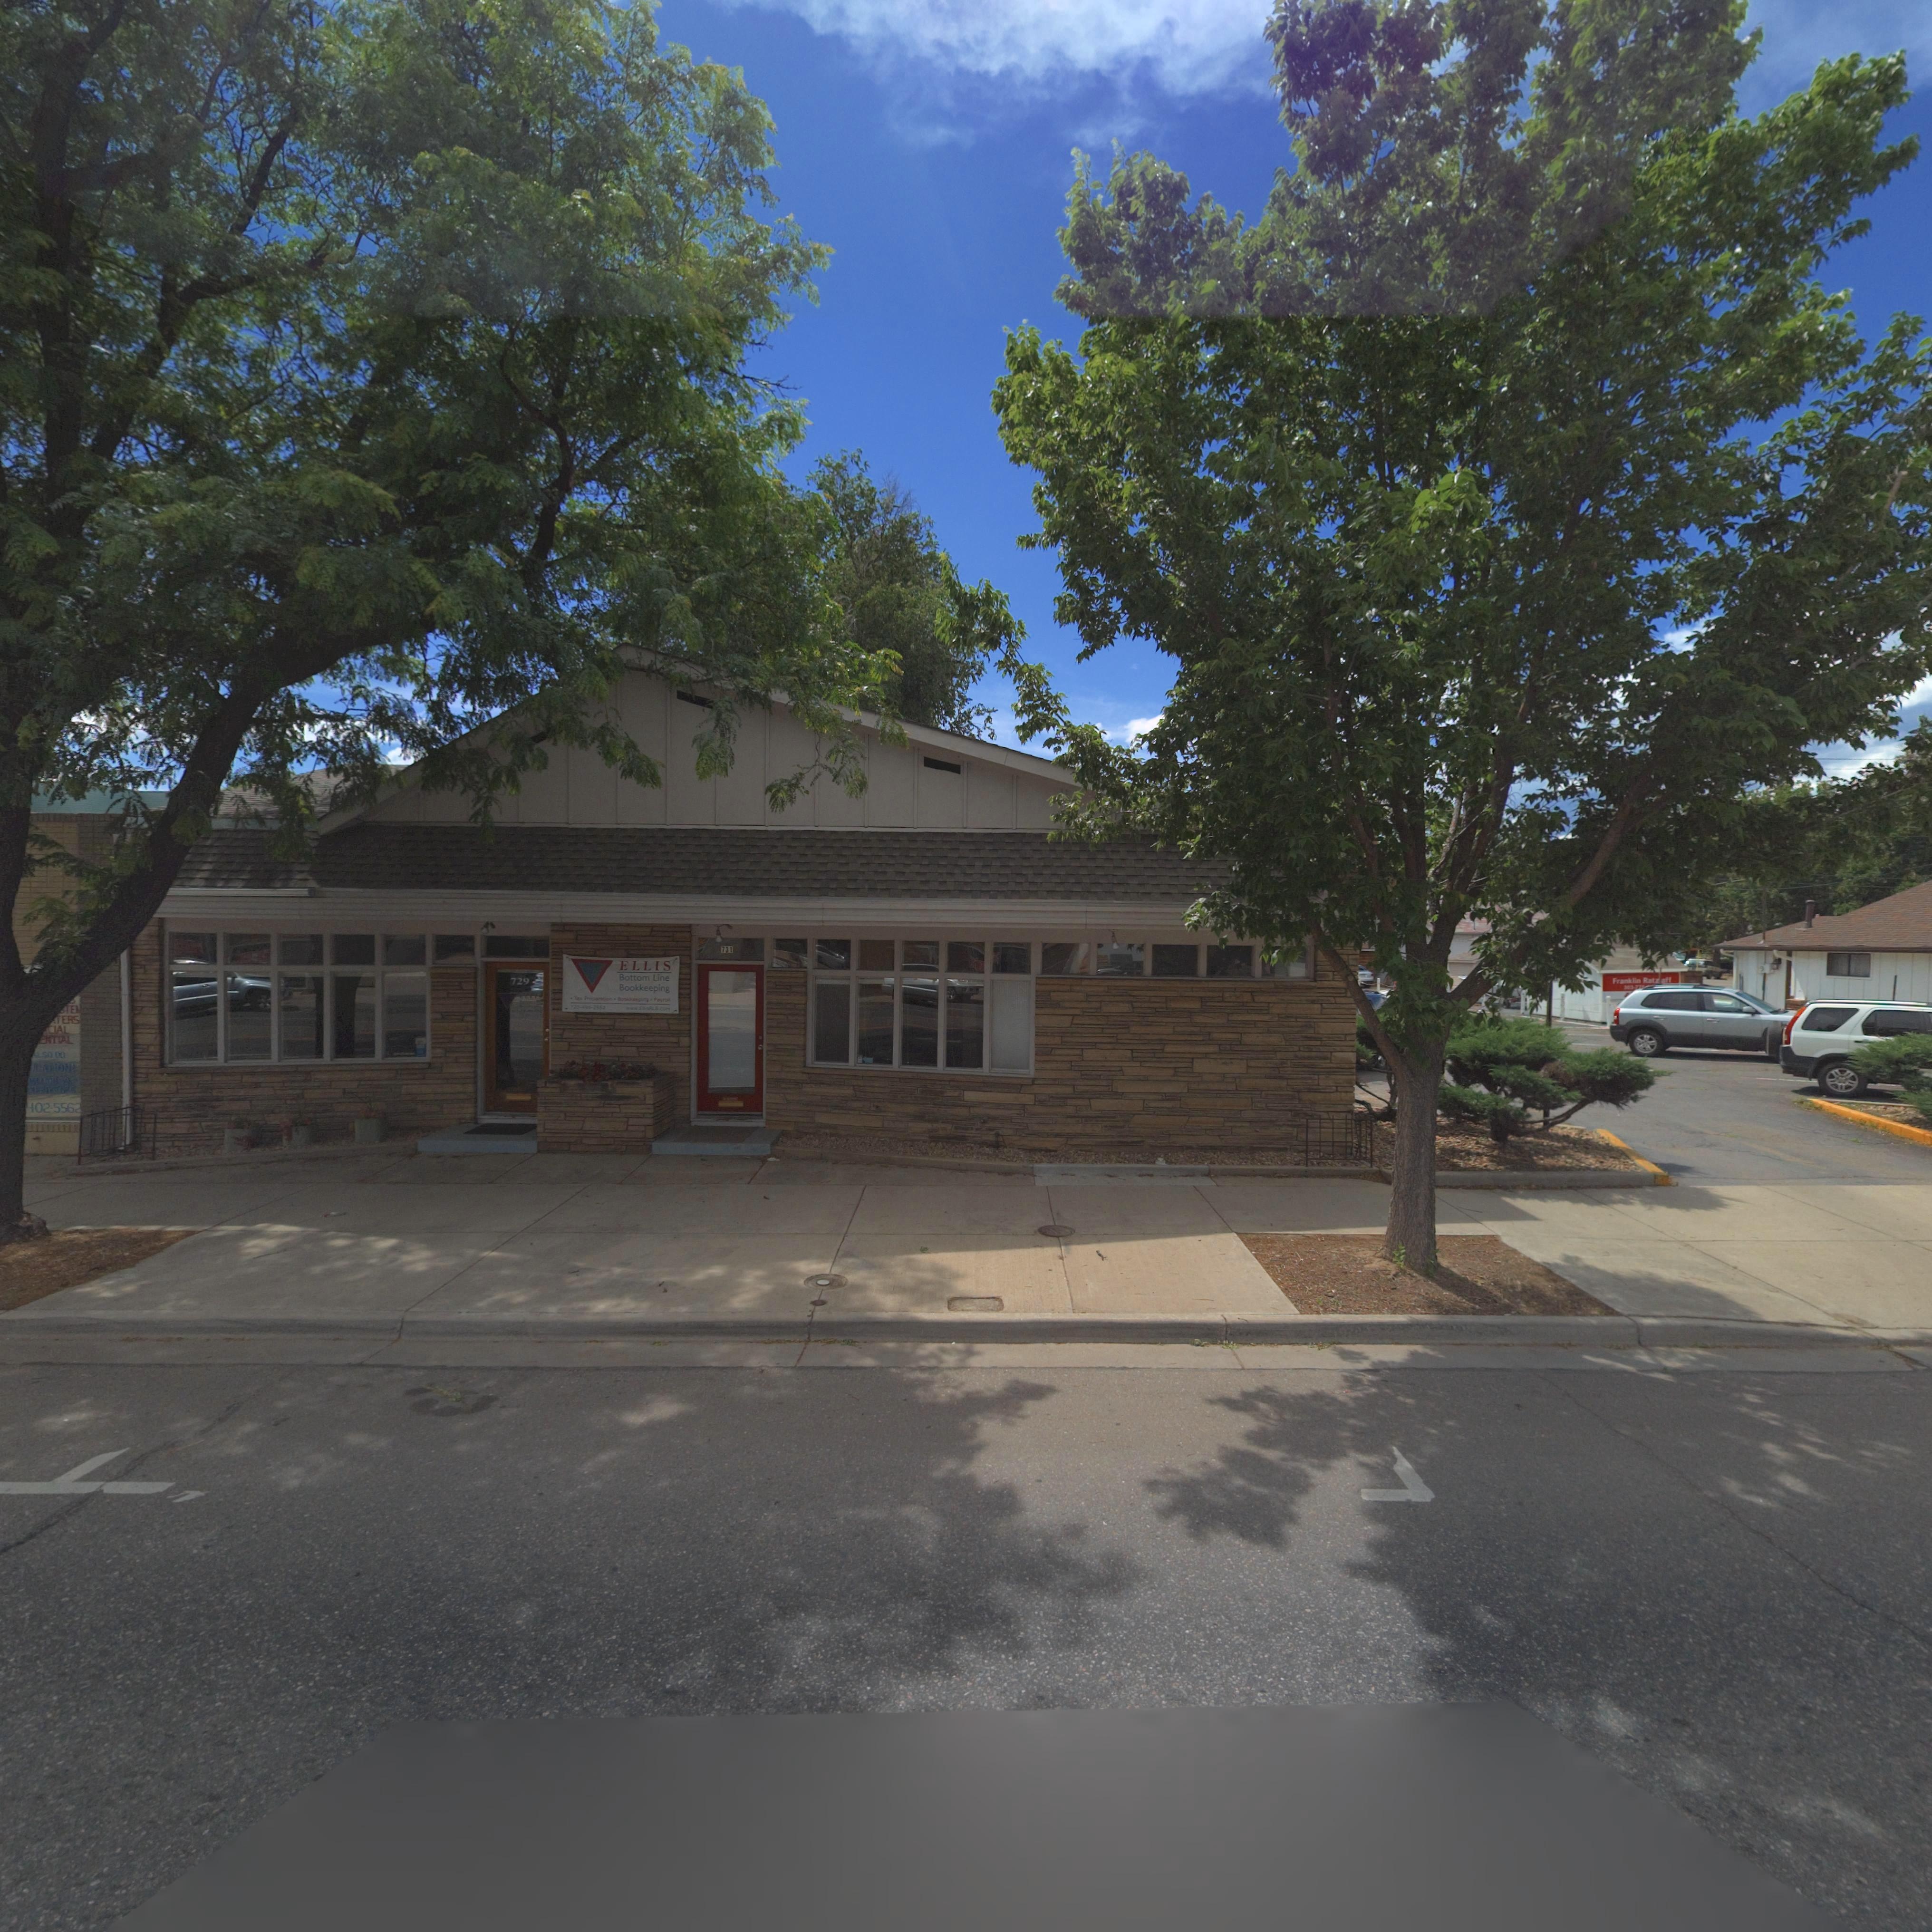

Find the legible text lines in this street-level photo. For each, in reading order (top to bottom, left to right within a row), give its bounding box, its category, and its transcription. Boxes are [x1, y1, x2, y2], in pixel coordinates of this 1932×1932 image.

[722, 946, 732, 953] StreetNumber: 731
[618, 960, 671, 971] BusinessName: ELLIS
[510, 977, 530, 985] StreetNumber: 729